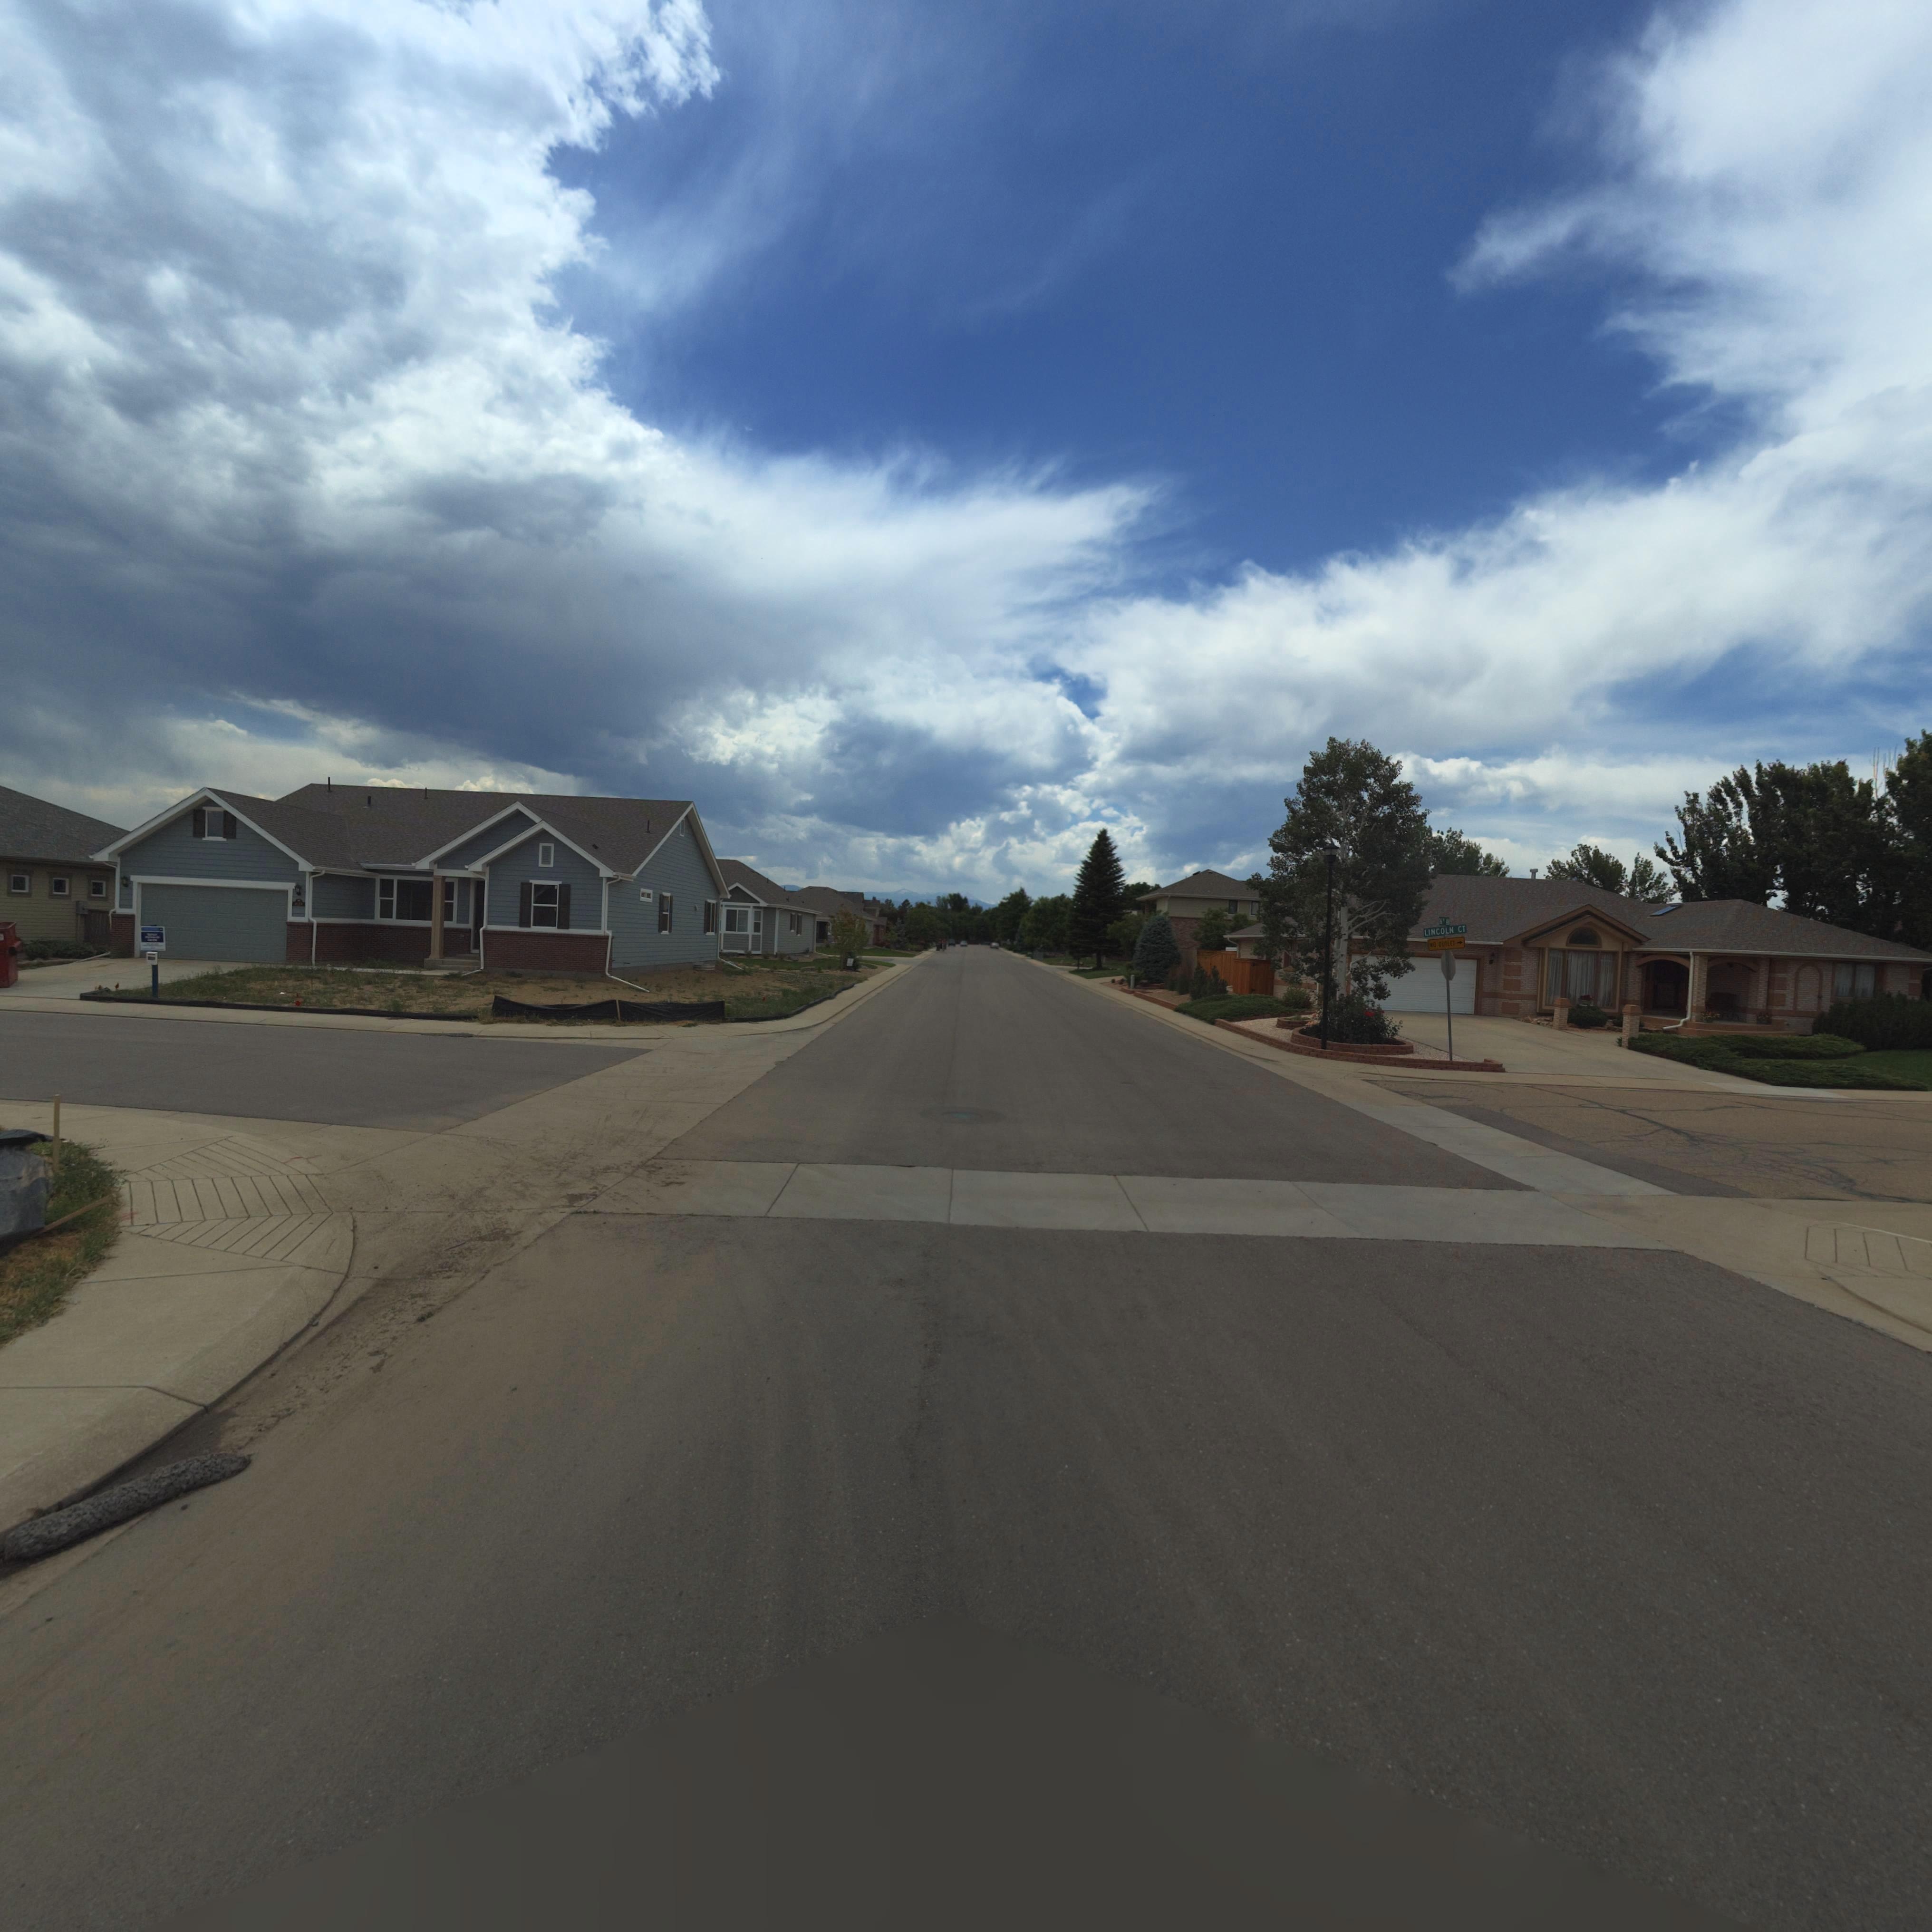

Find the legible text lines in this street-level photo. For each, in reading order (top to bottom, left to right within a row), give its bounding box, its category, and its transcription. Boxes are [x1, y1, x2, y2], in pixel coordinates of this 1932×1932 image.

[1439, 918, 1449, 925] StreetName: 16** **
[1424, 925, 1465, 936] StreetName: LINCOLN CT